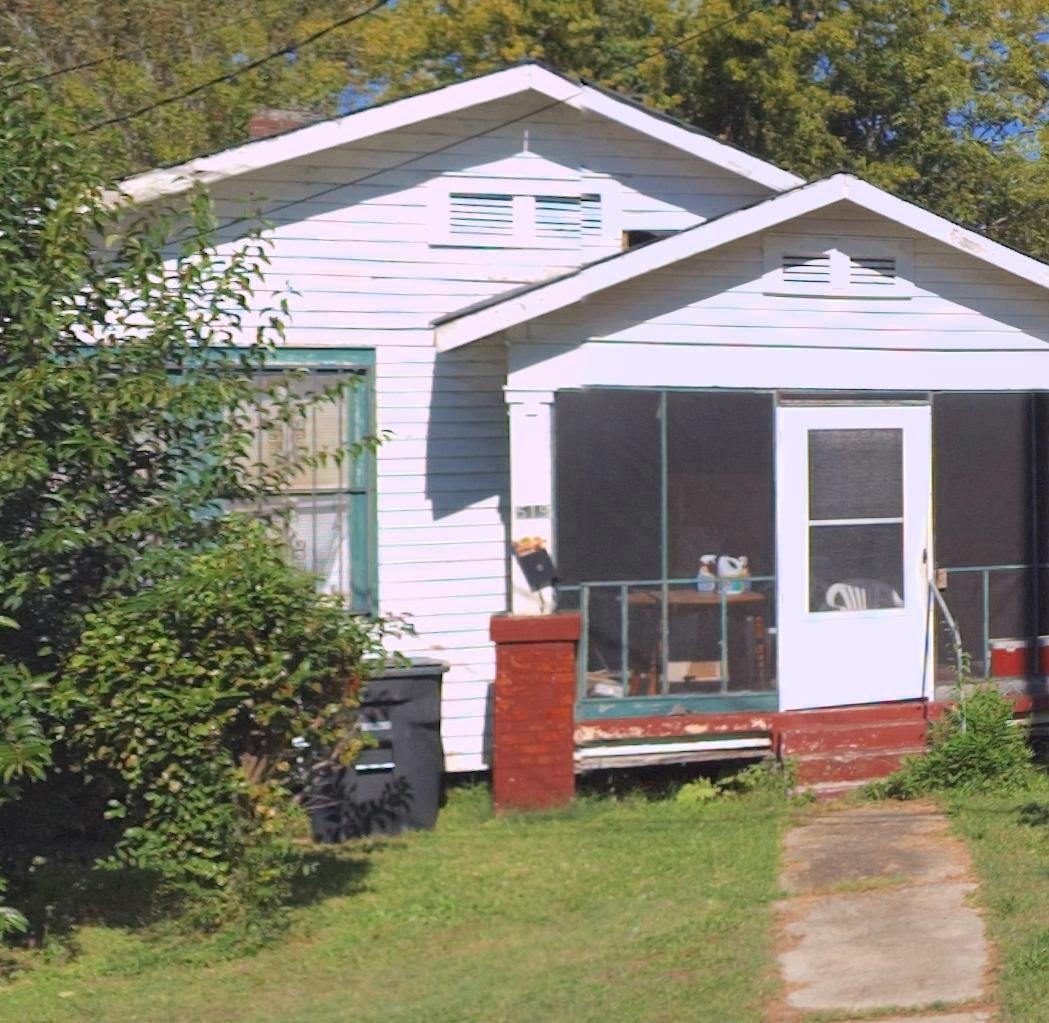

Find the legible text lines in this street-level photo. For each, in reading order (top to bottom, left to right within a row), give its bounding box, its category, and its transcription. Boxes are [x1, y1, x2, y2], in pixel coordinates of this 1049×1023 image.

[516, 503, 550, 521] StreetNumber: 519